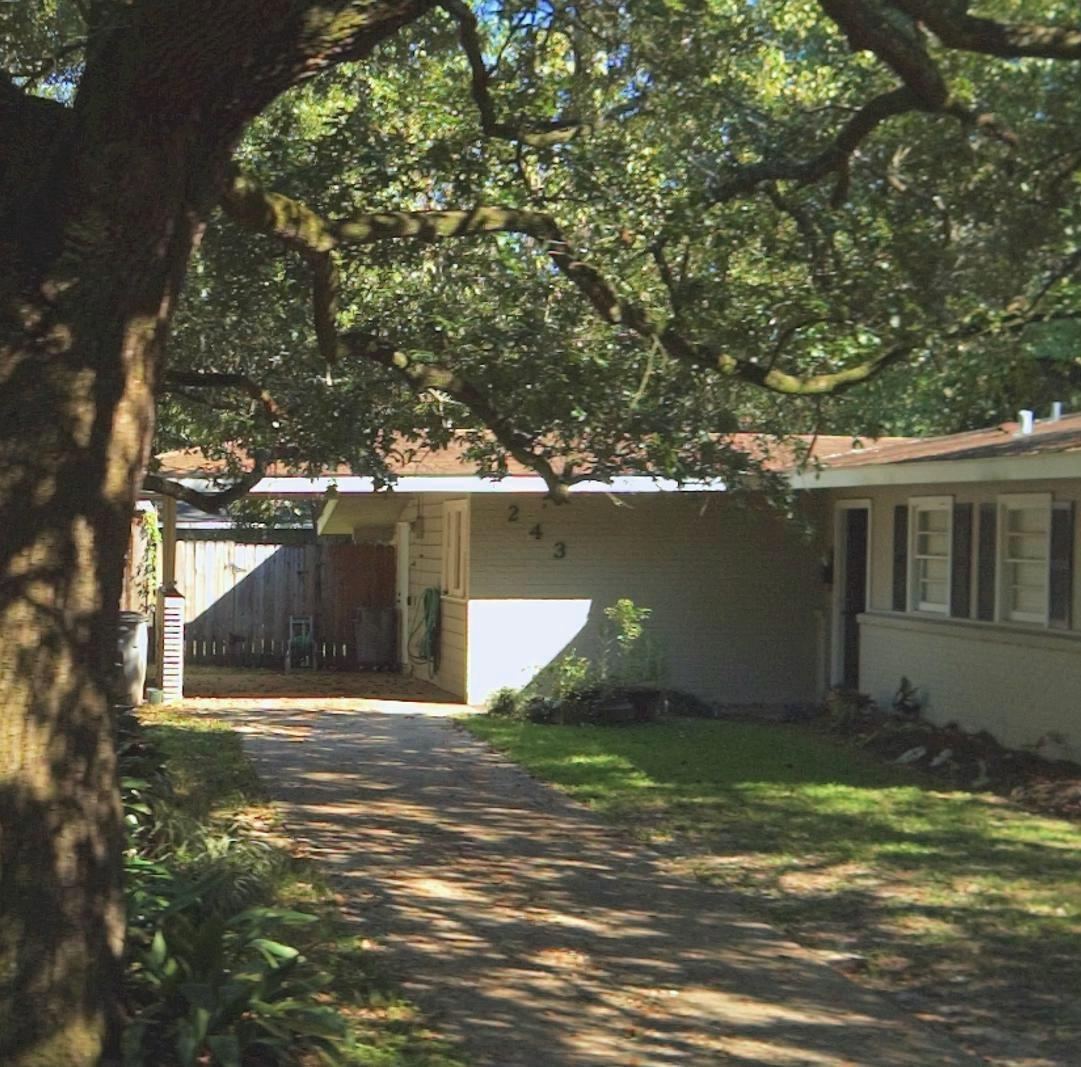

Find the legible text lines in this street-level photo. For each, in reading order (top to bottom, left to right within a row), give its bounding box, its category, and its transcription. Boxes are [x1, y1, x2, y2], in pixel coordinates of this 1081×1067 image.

[507, 504, 566, 560] StreetNumber: 243